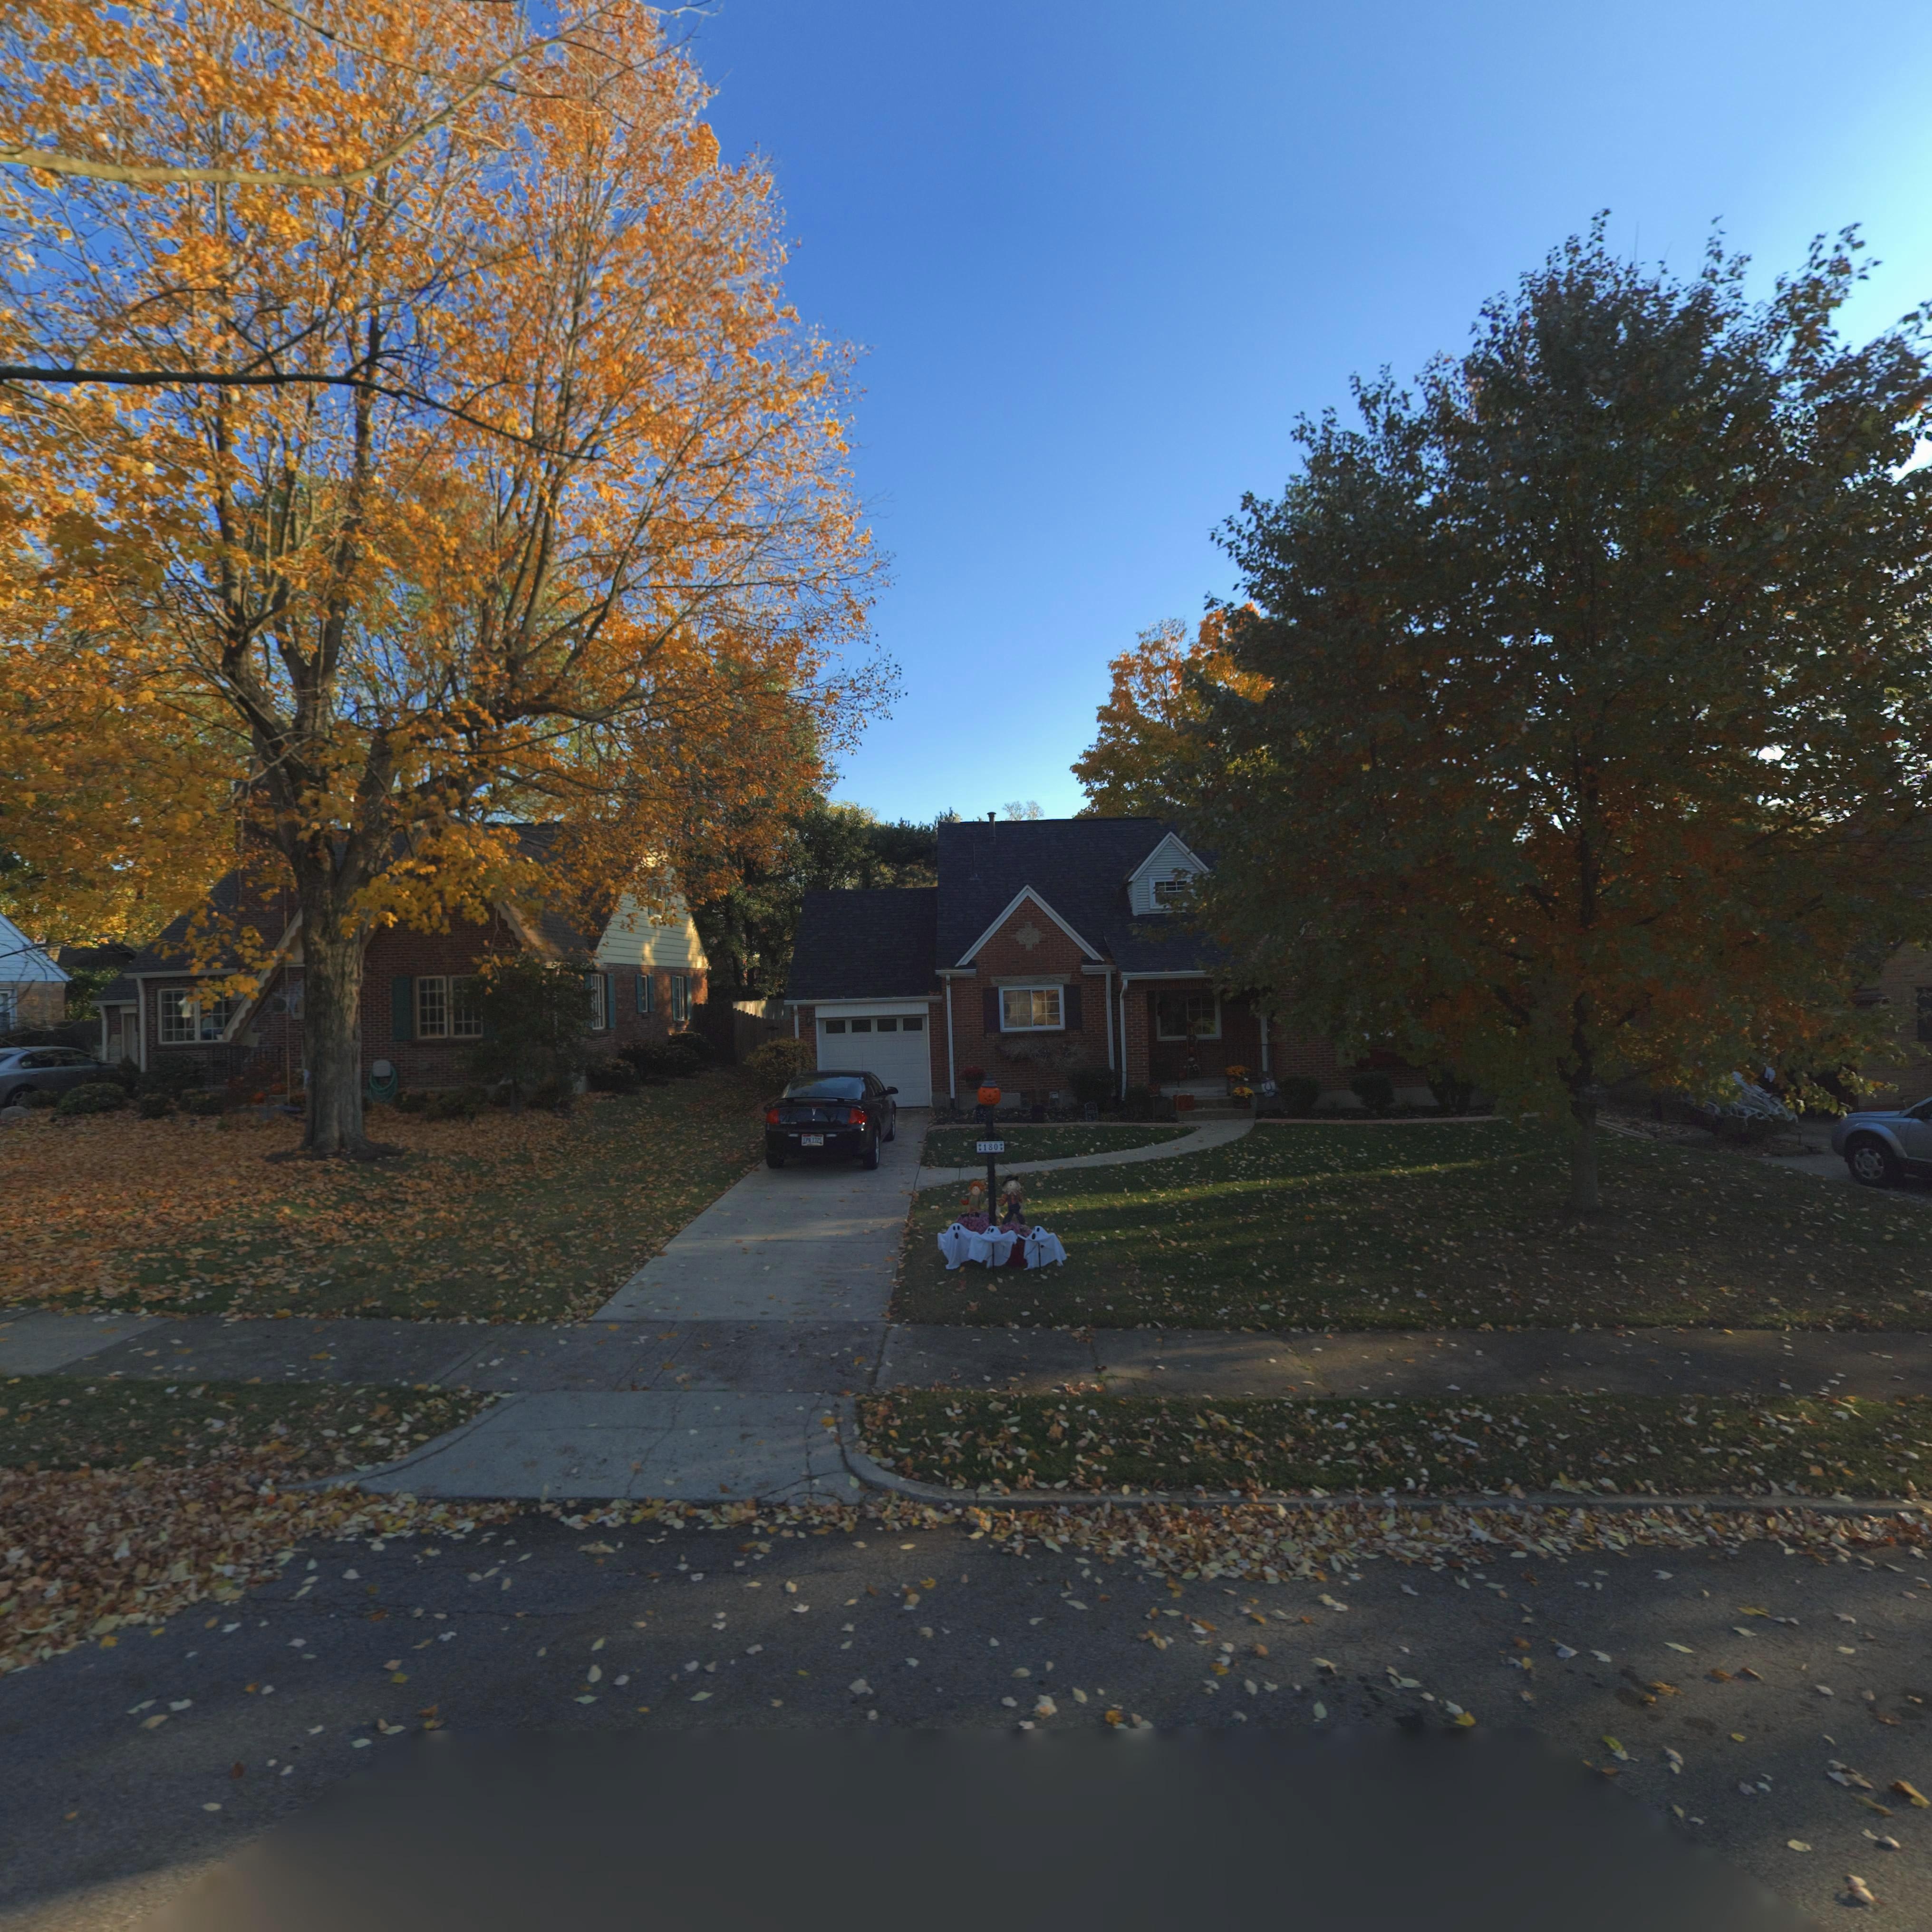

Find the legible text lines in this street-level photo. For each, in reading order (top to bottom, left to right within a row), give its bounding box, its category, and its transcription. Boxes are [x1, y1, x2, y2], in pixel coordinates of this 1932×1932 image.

[983, 1142, 999, 1151] StreetNumber: 180